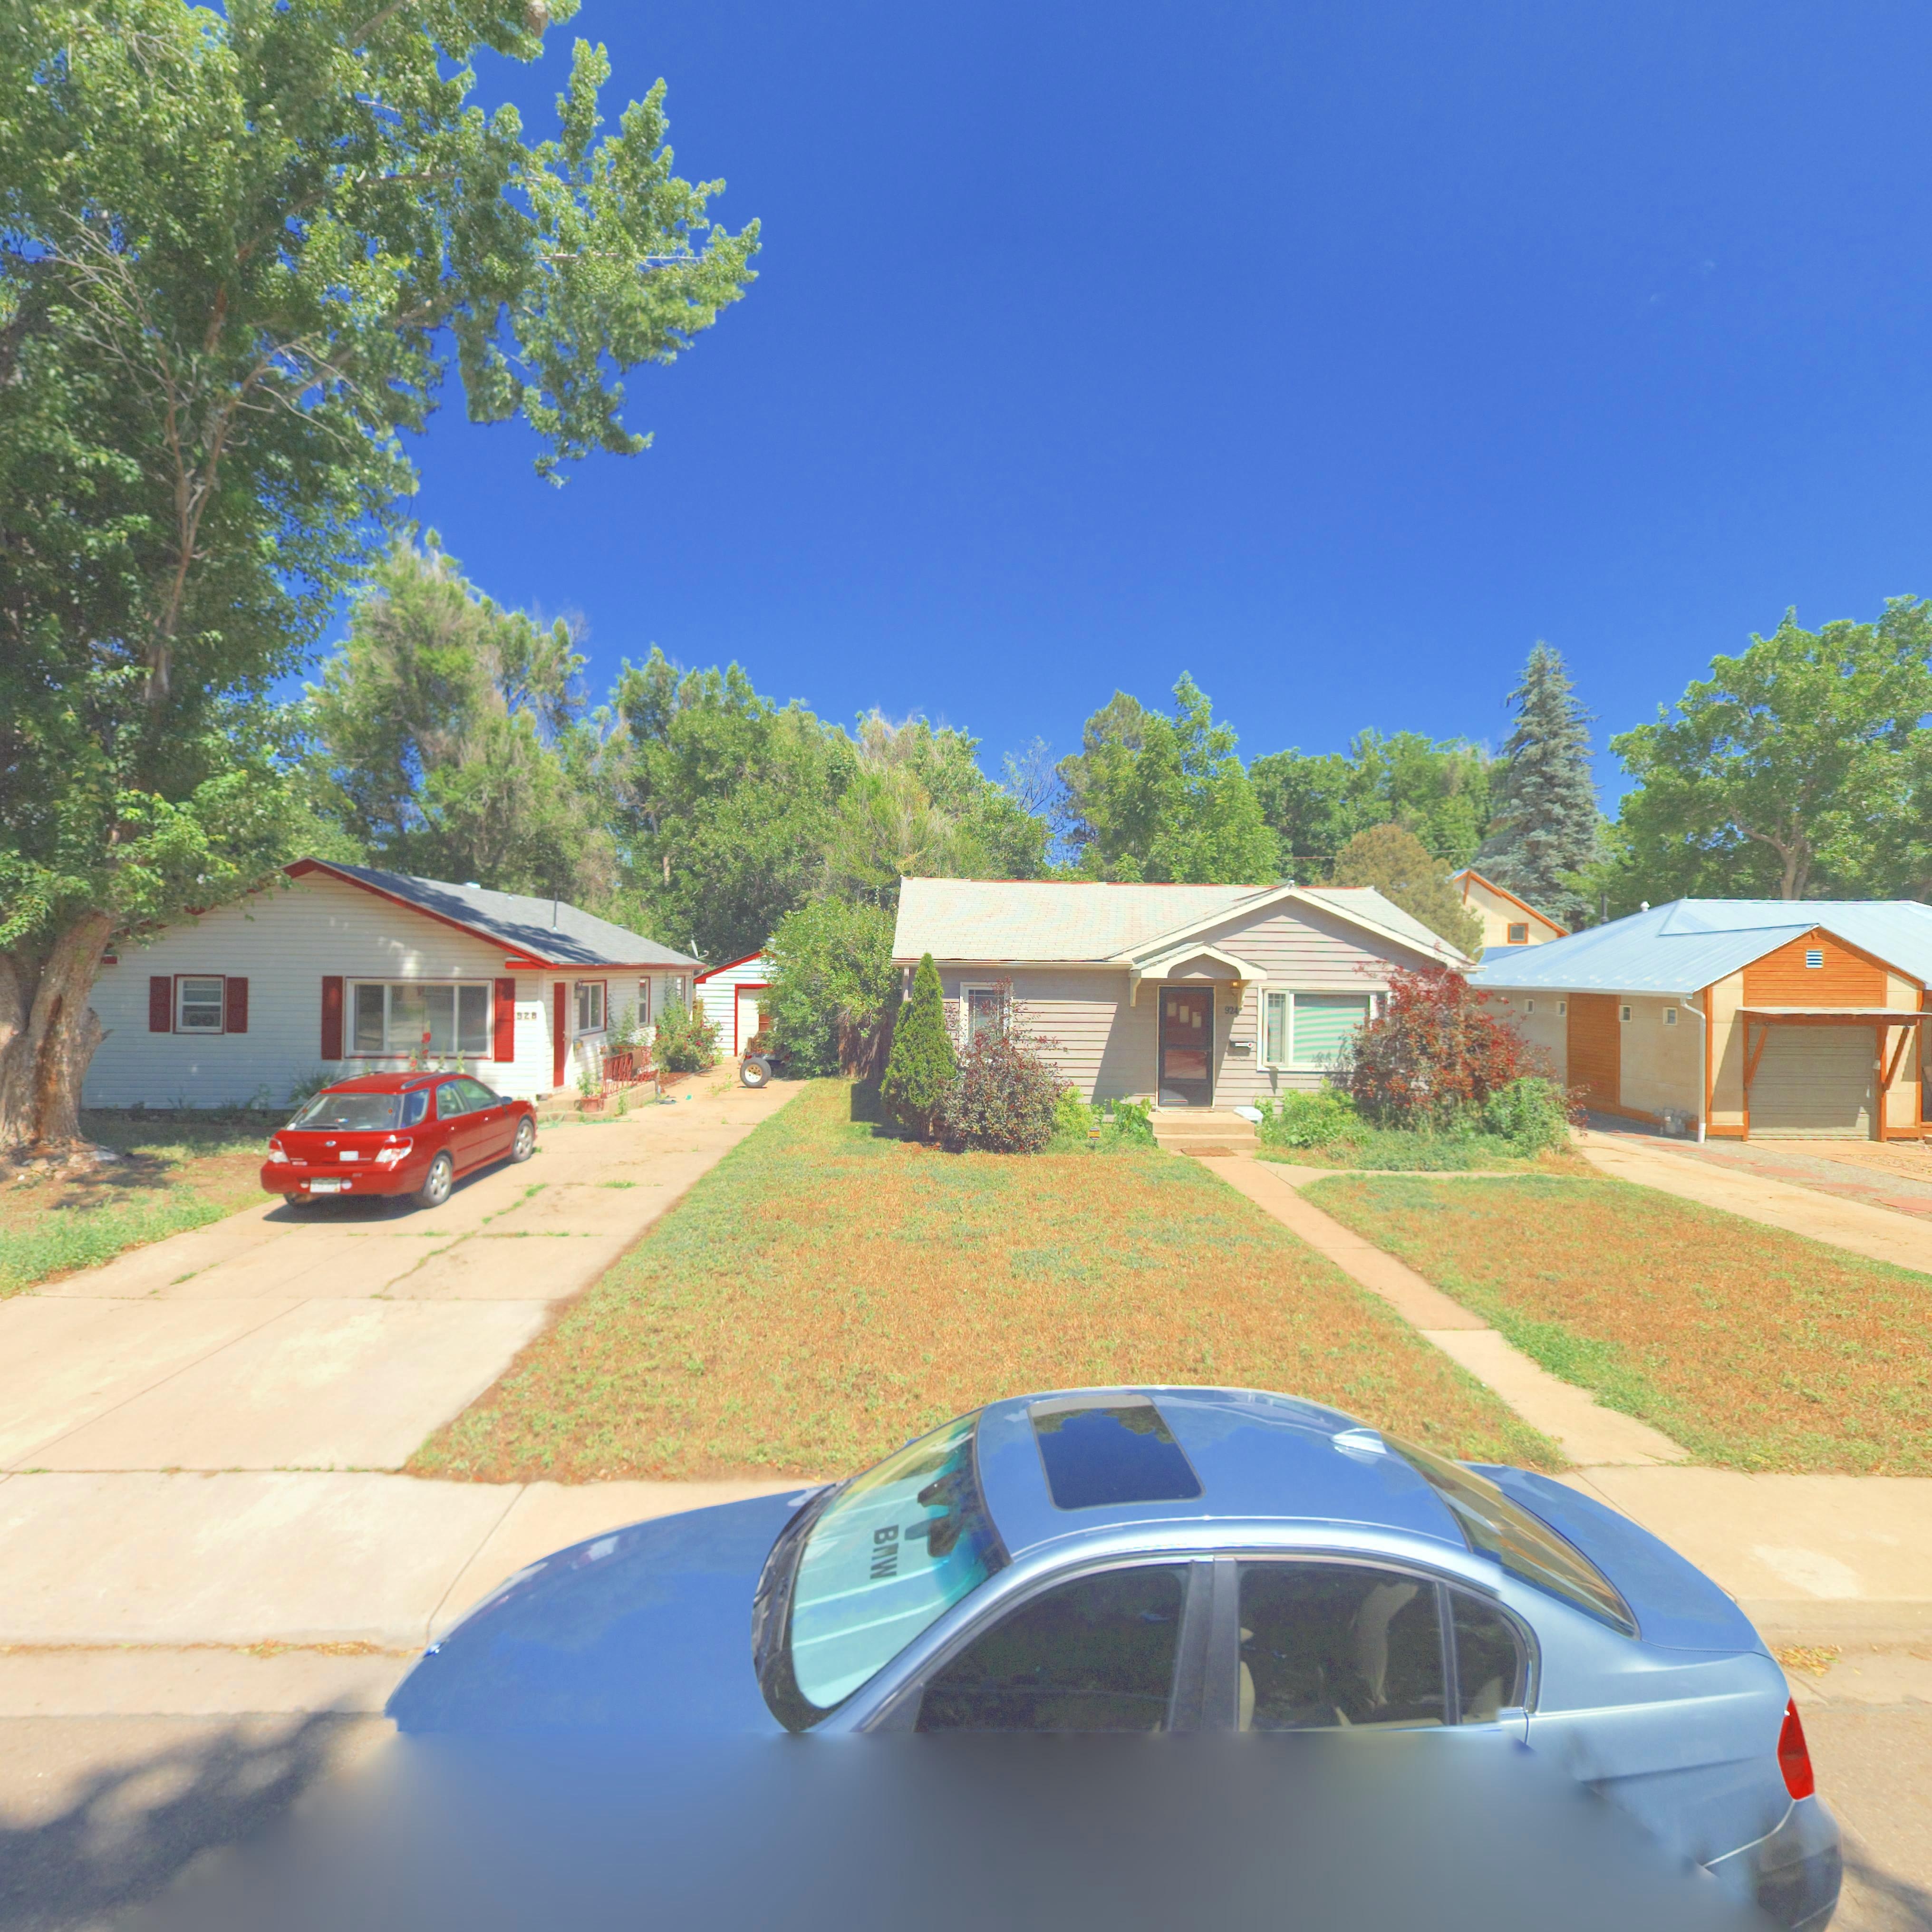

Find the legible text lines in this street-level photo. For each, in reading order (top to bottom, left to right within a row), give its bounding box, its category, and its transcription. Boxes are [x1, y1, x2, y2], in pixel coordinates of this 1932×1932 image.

[1224, 1005, 1238, 1014] StreetNumber: 924
[516, 1011, 537, 1020] StreetNumber: 928